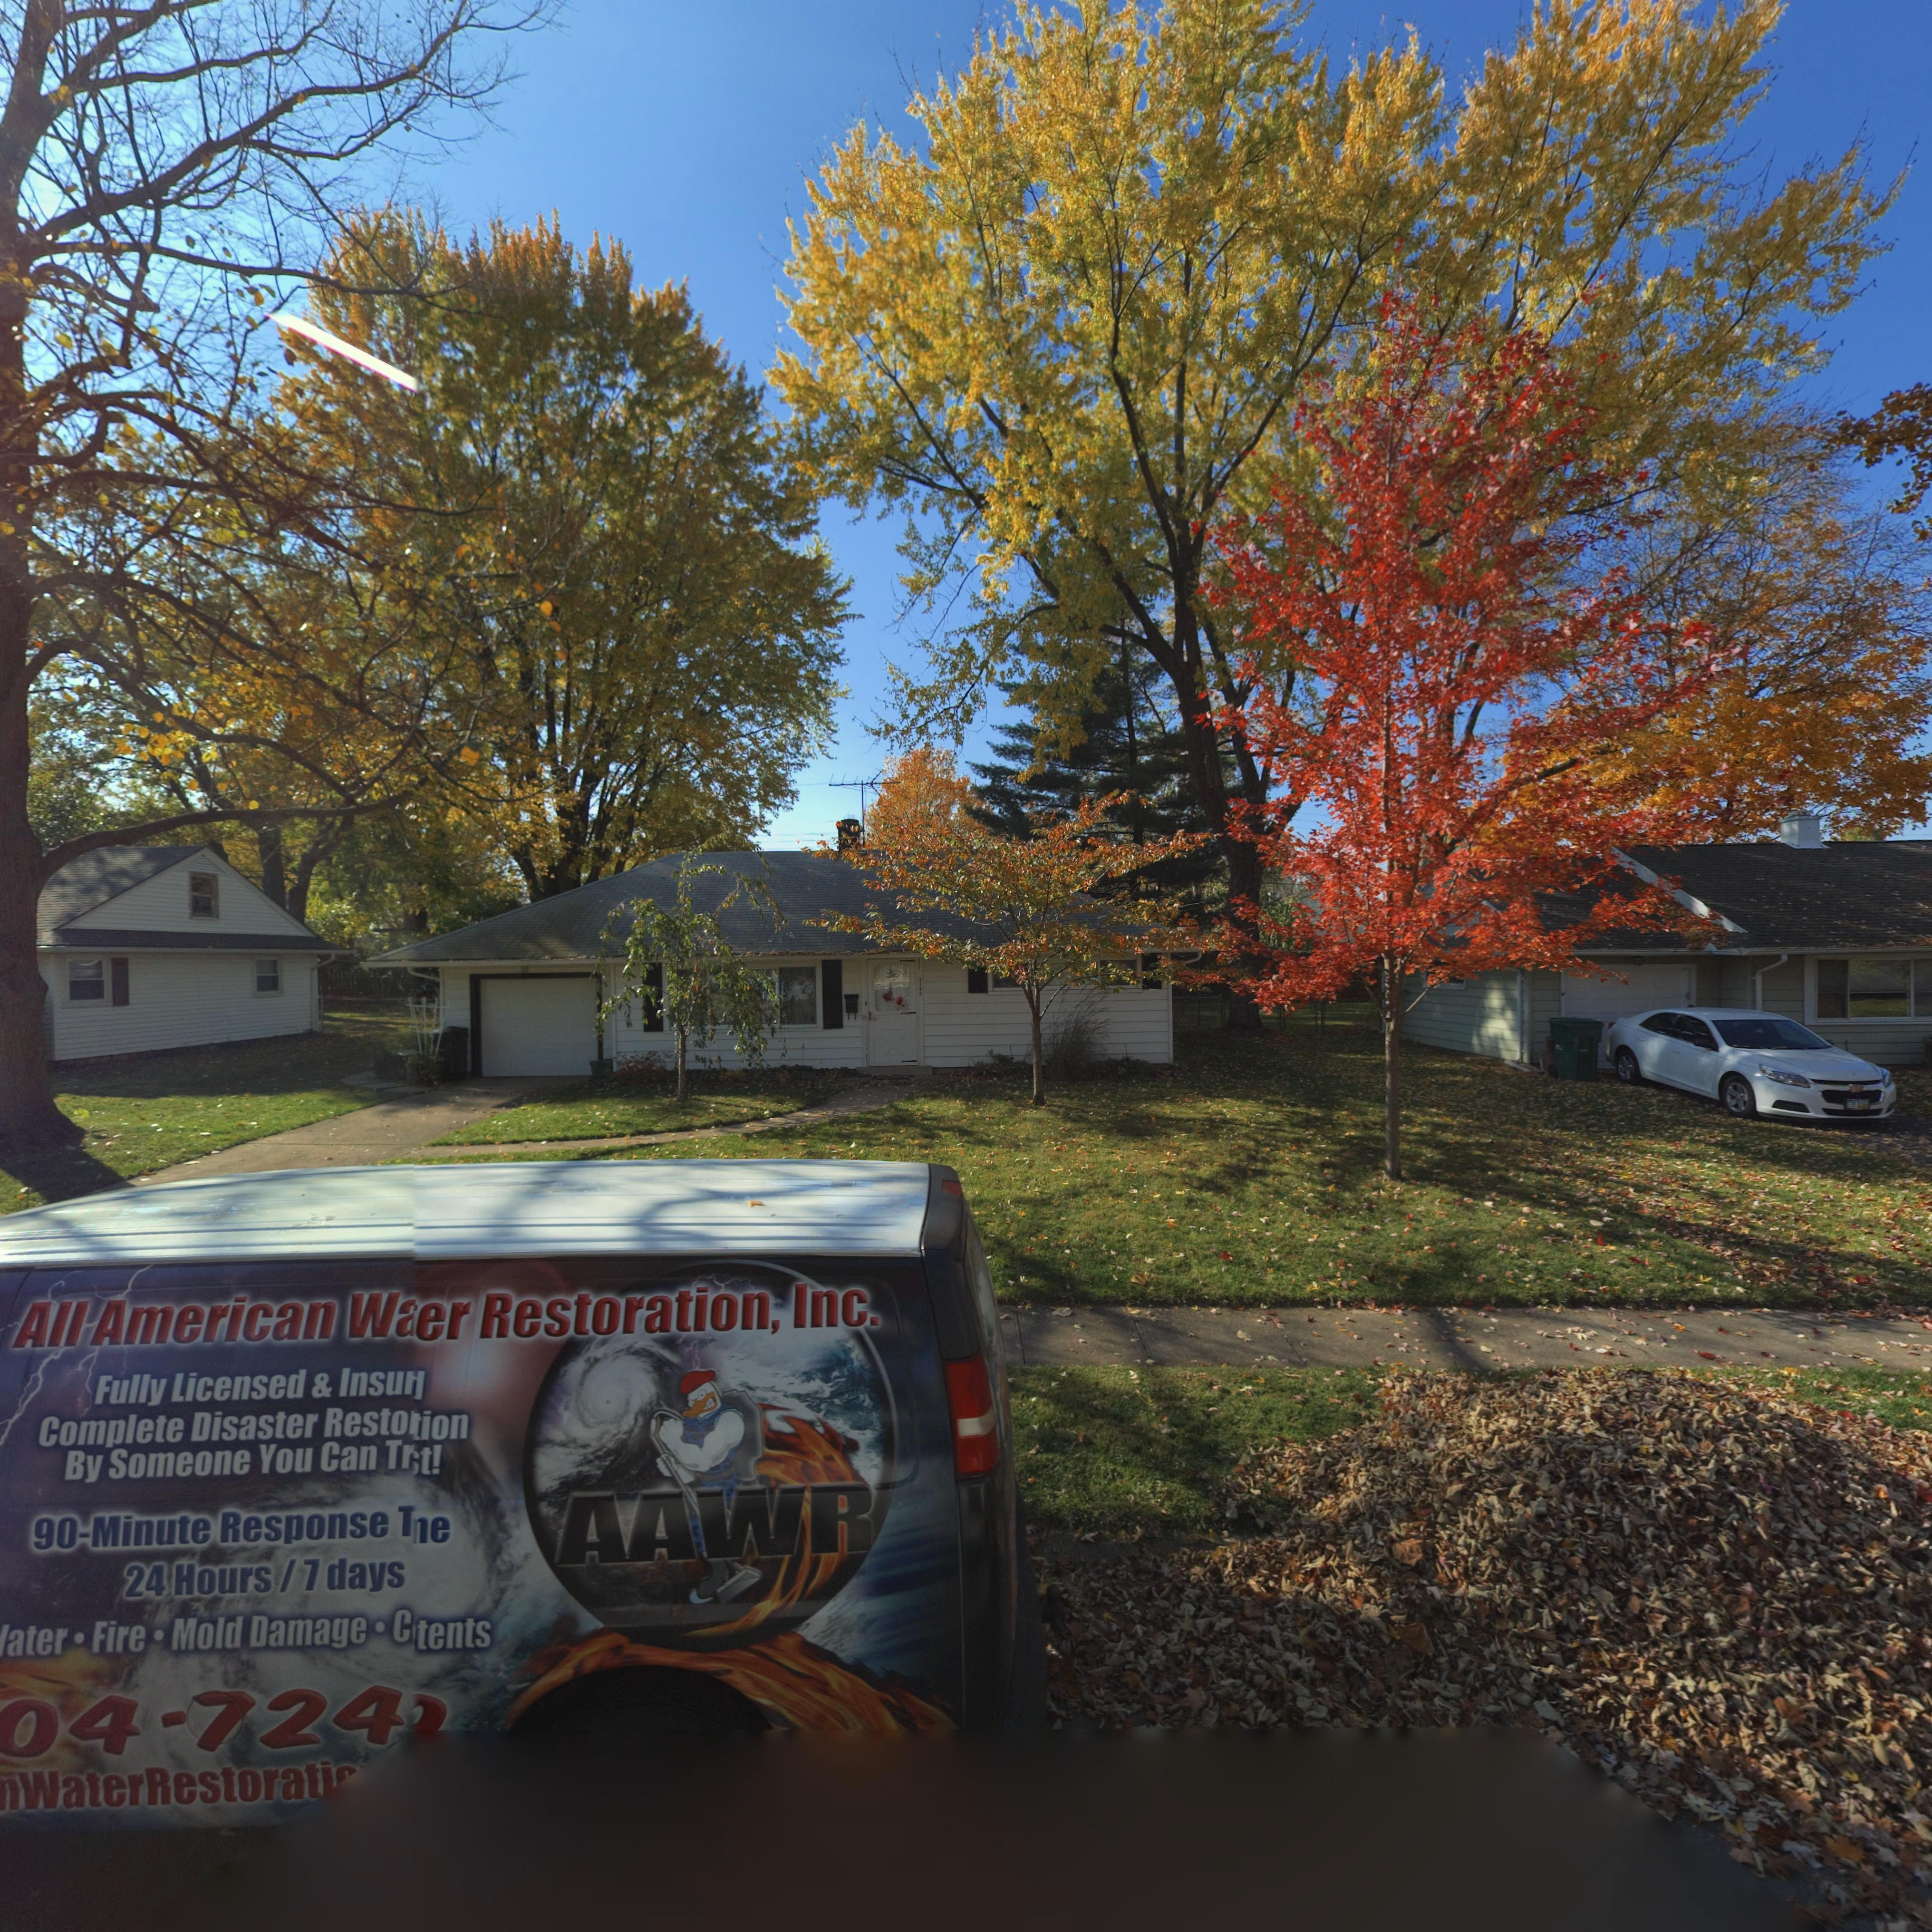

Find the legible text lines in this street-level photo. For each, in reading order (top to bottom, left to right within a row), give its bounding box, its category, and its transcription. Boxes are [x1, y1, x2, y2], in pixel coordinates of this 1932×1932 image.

[918, 977, 922, 996] StreetNumber: 3743
[8, 1282, 881, 1350] None: All American W*er Restoration, Inc.
[92, 1367, 426, 1408] None: Fully Licensed & Insu*
[38, 1406, 470, 1449] None: Complete Disaster Resto*ion
[63, 1439, 444, 1483] None: By Someone You Can Tr*t!
[32, 1505, 452, 1551] None: 90-Minute Response T*e
[552, 1481, 874, 1568] None: AAWR
[123, 1556, 406, 1598] None: 24 Hours / 7 days
[9, 1608, 493, 1657] None: ater * Fire * Mold Damage * C*tents
[0, 1682, 407, 1759] None: 04-724
[17, 1758, 336, 1810] None: WaterRestorati